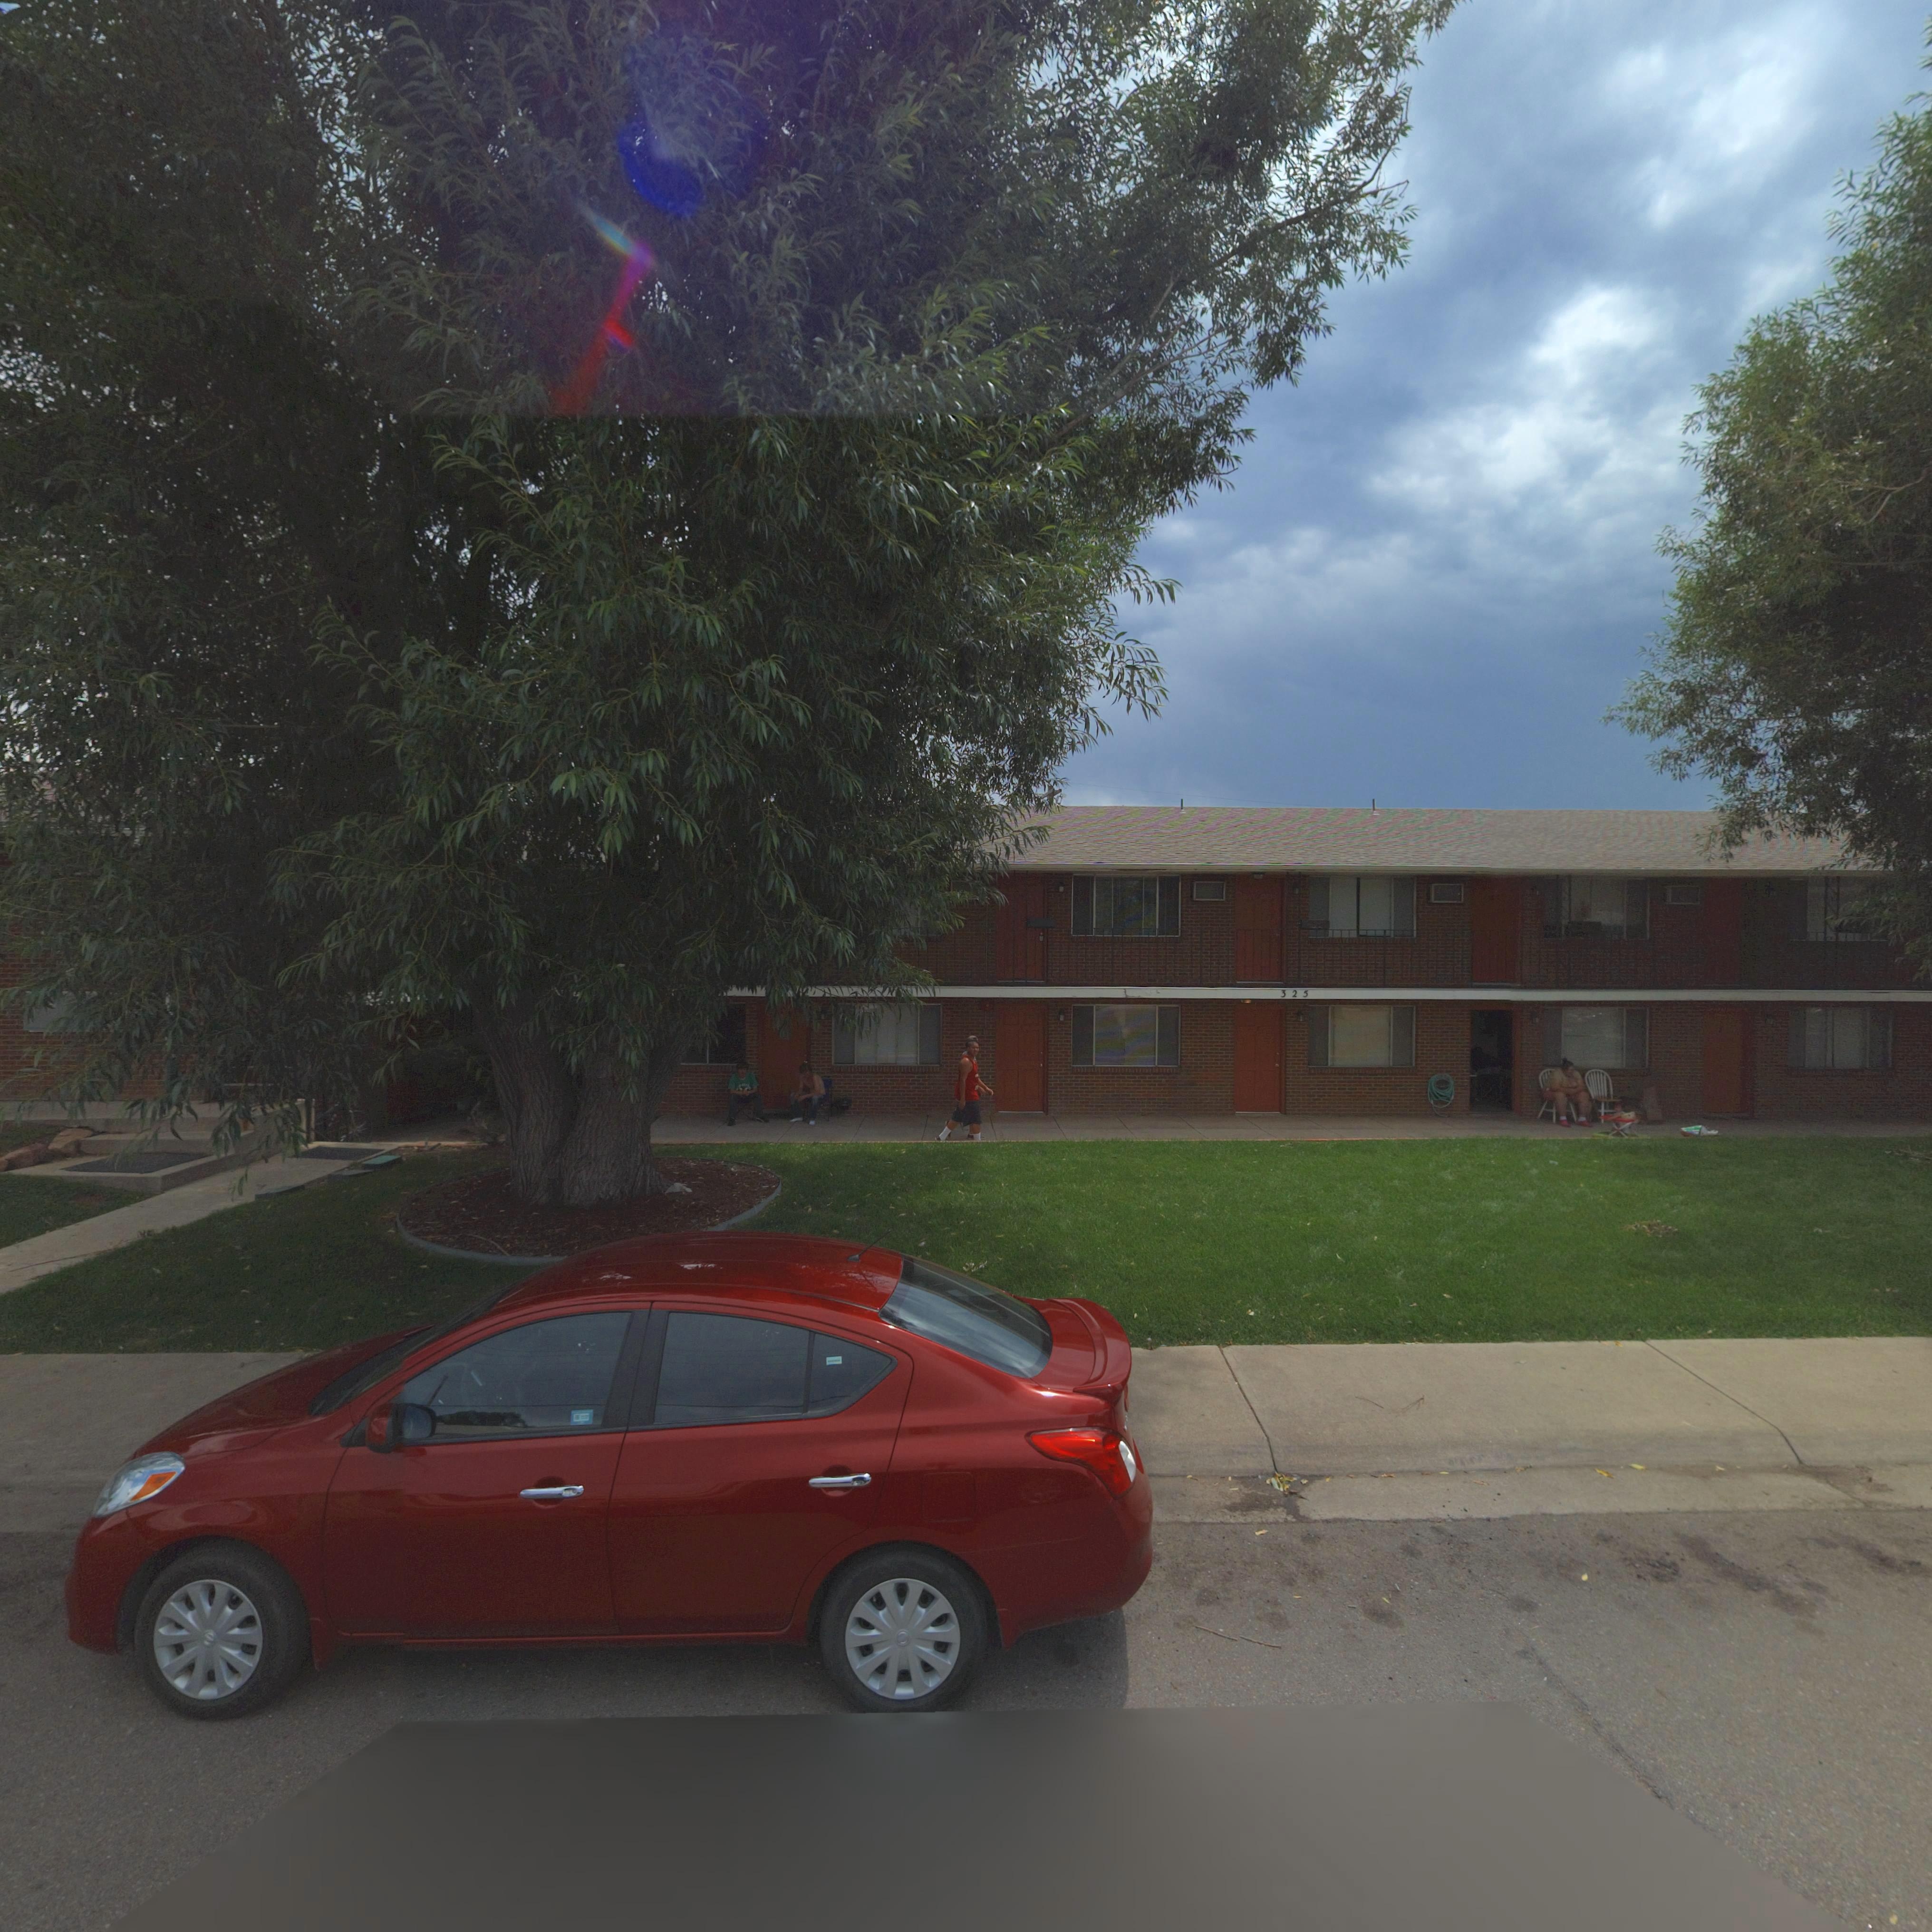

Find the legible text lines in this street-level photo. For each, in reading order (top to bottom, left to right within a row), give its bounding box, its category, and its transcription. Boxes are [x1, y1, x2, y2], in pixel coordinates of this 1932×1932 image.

[1280, 989, 1308, 998] StreetNumber: 325